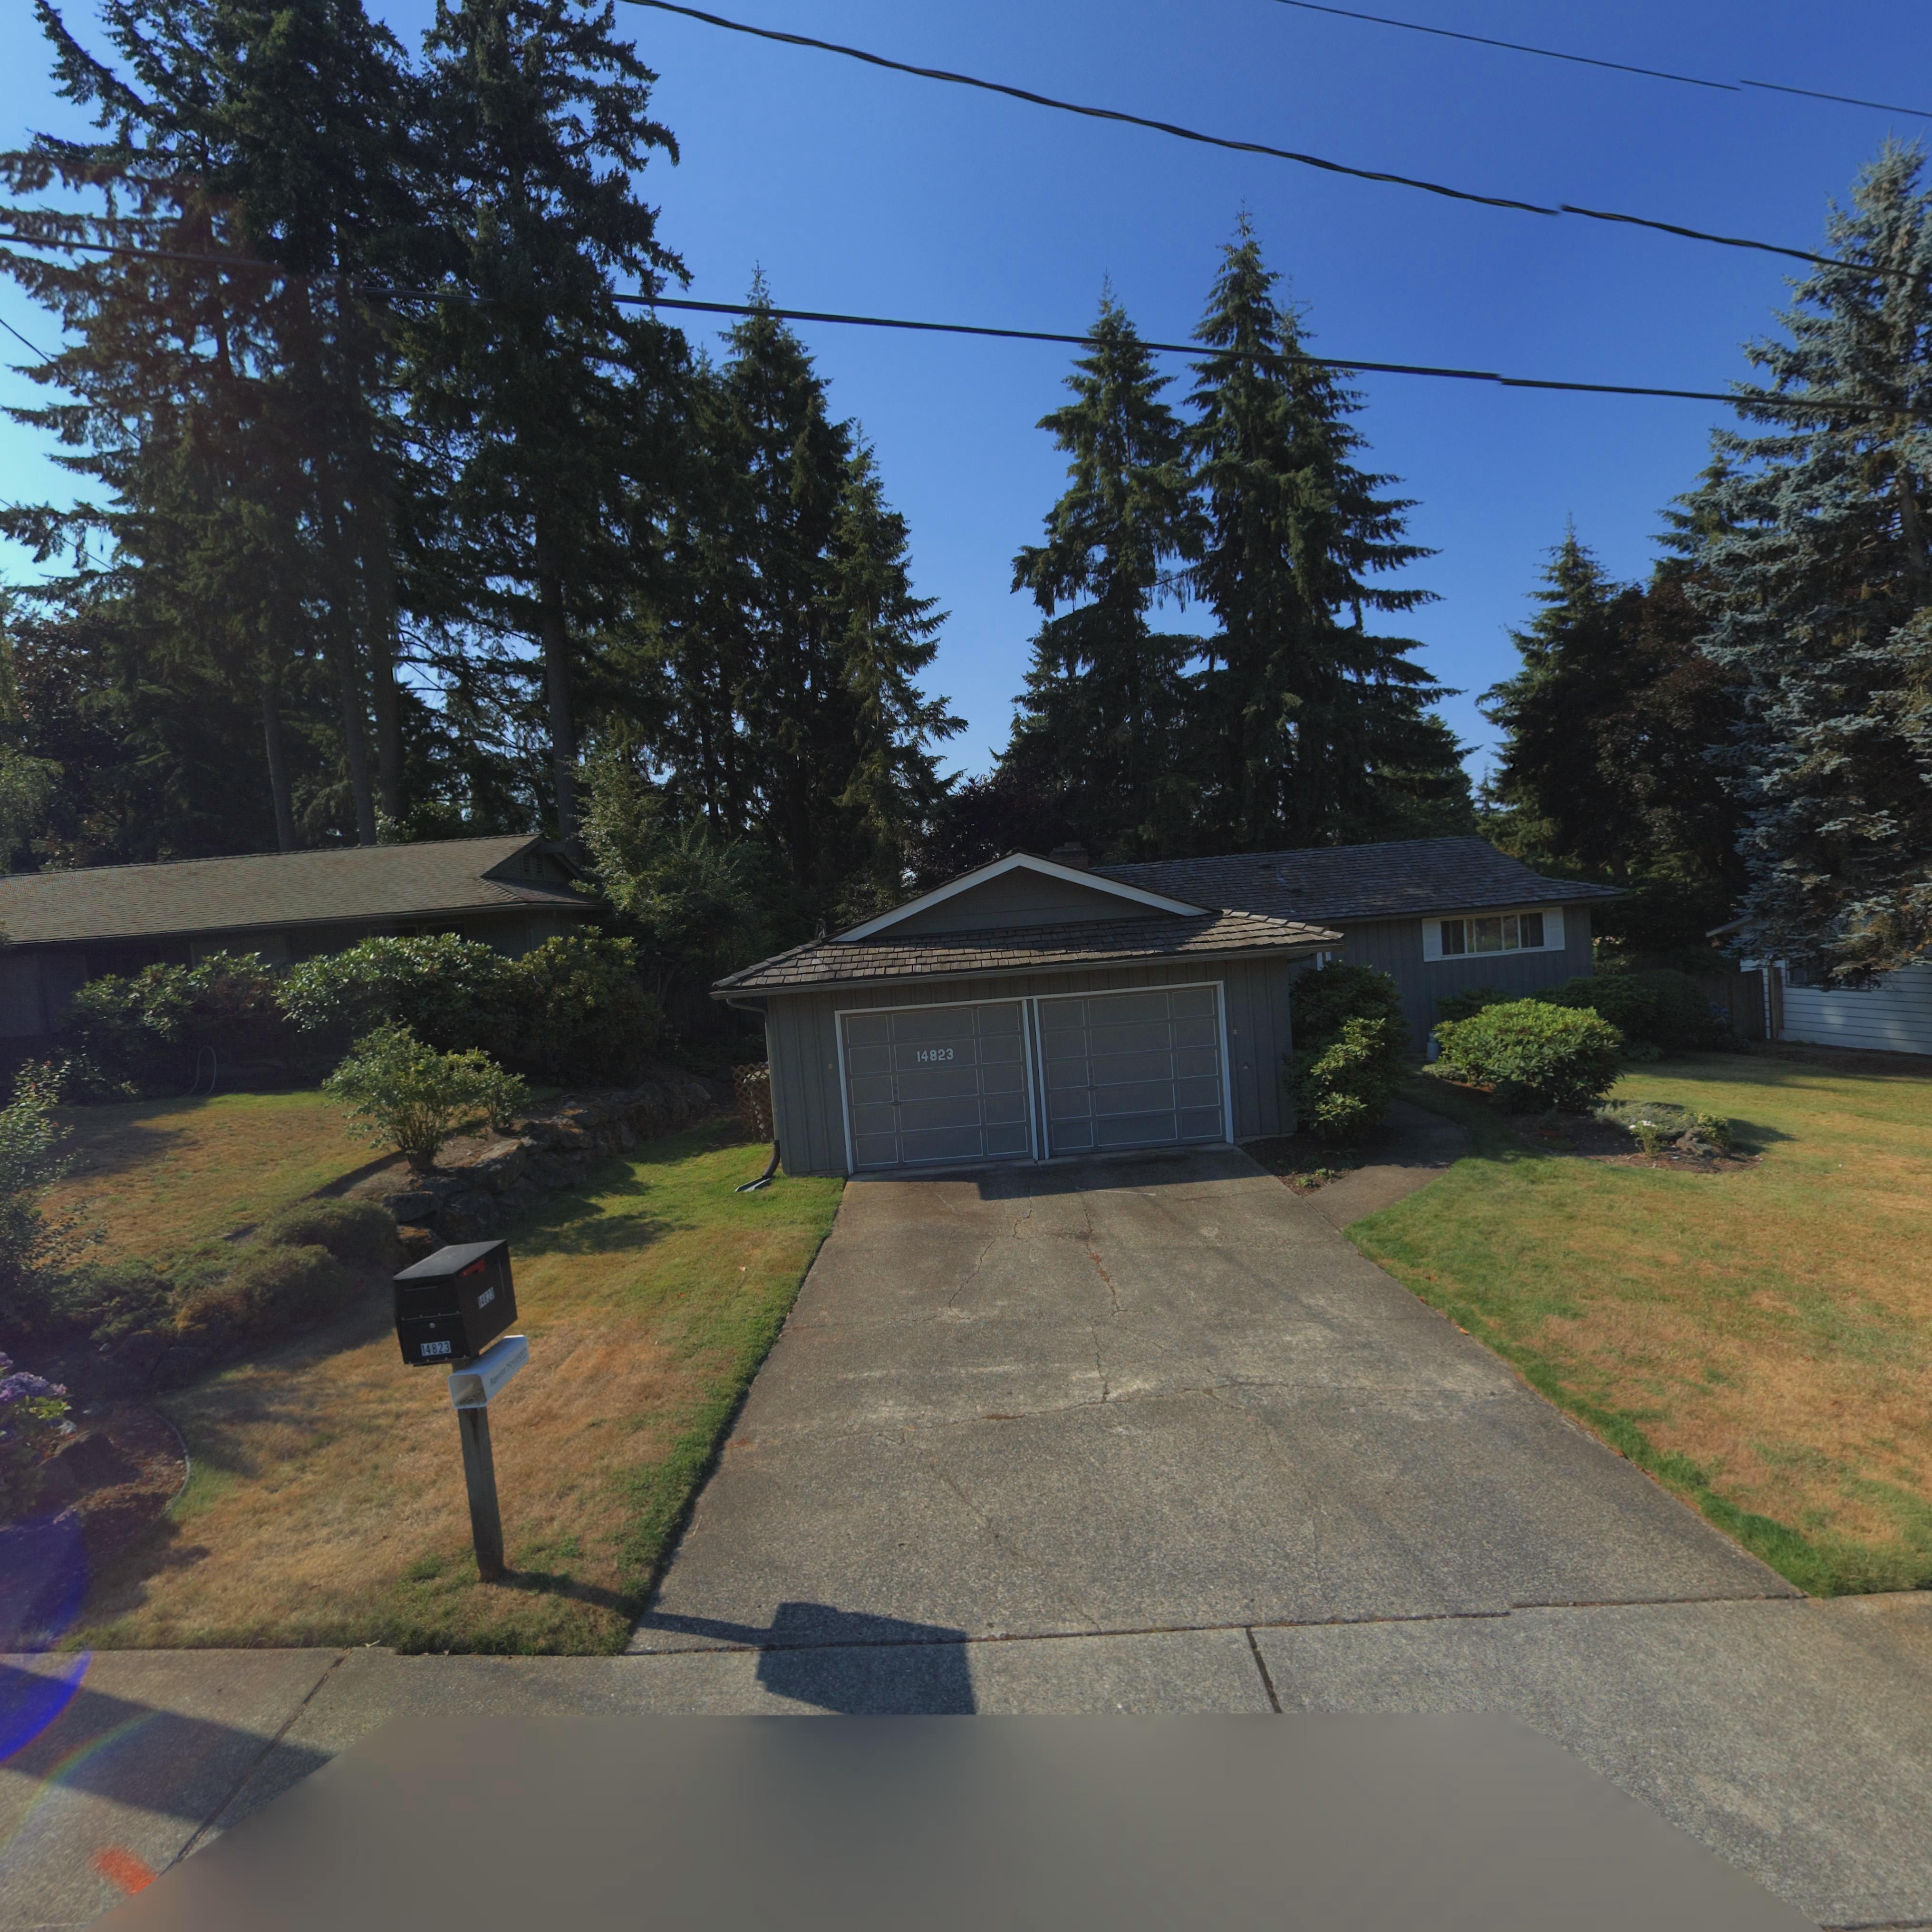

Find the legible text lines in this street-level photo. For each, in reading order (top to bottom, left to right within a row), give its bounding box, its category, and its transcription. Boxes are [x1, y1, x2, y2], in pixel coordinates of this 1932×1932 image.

[916, 1048, 954, 1062] StreetNumber: 14823
[478, 1287, 494, 1309] StreetNumber: 14823
[421, 1342, 450, 1355] StreetNumber: 14823